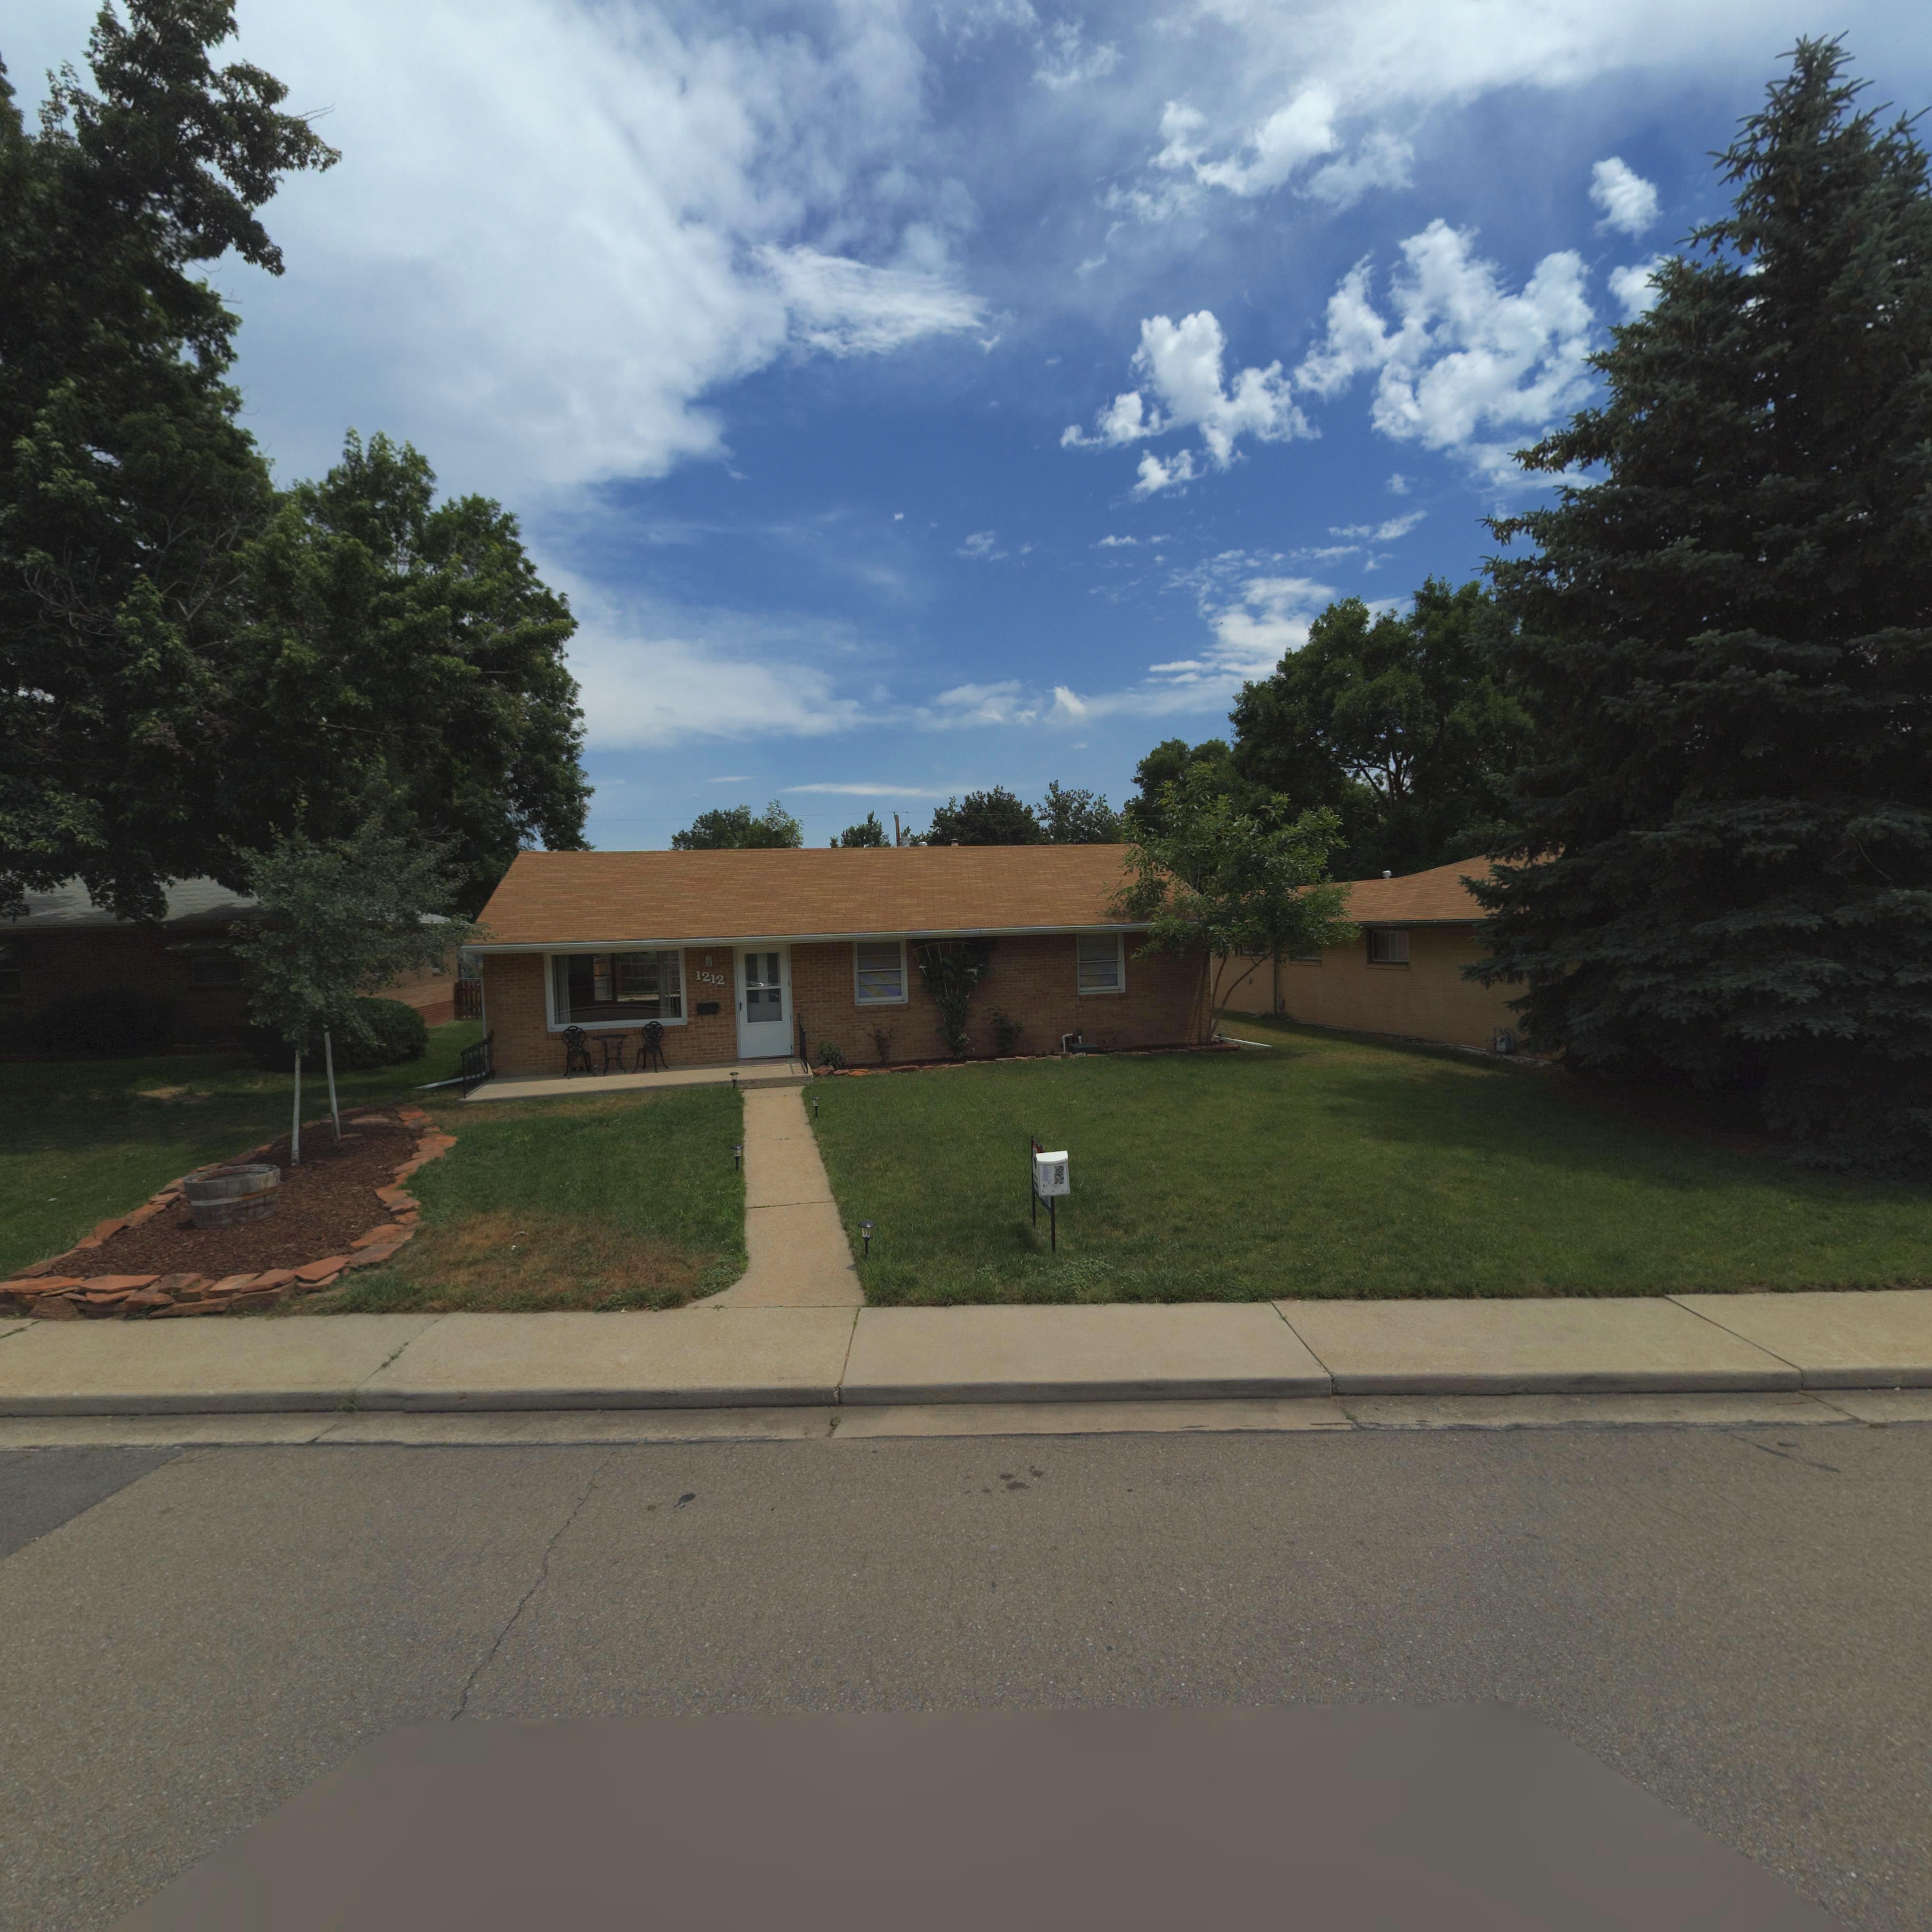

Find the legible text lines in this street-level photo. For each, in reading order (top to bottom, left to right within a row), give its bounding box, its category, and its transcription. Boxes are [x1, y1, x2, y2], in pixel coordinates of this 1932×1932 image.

[696, 971, 725, 985] StreetNumber: 1212